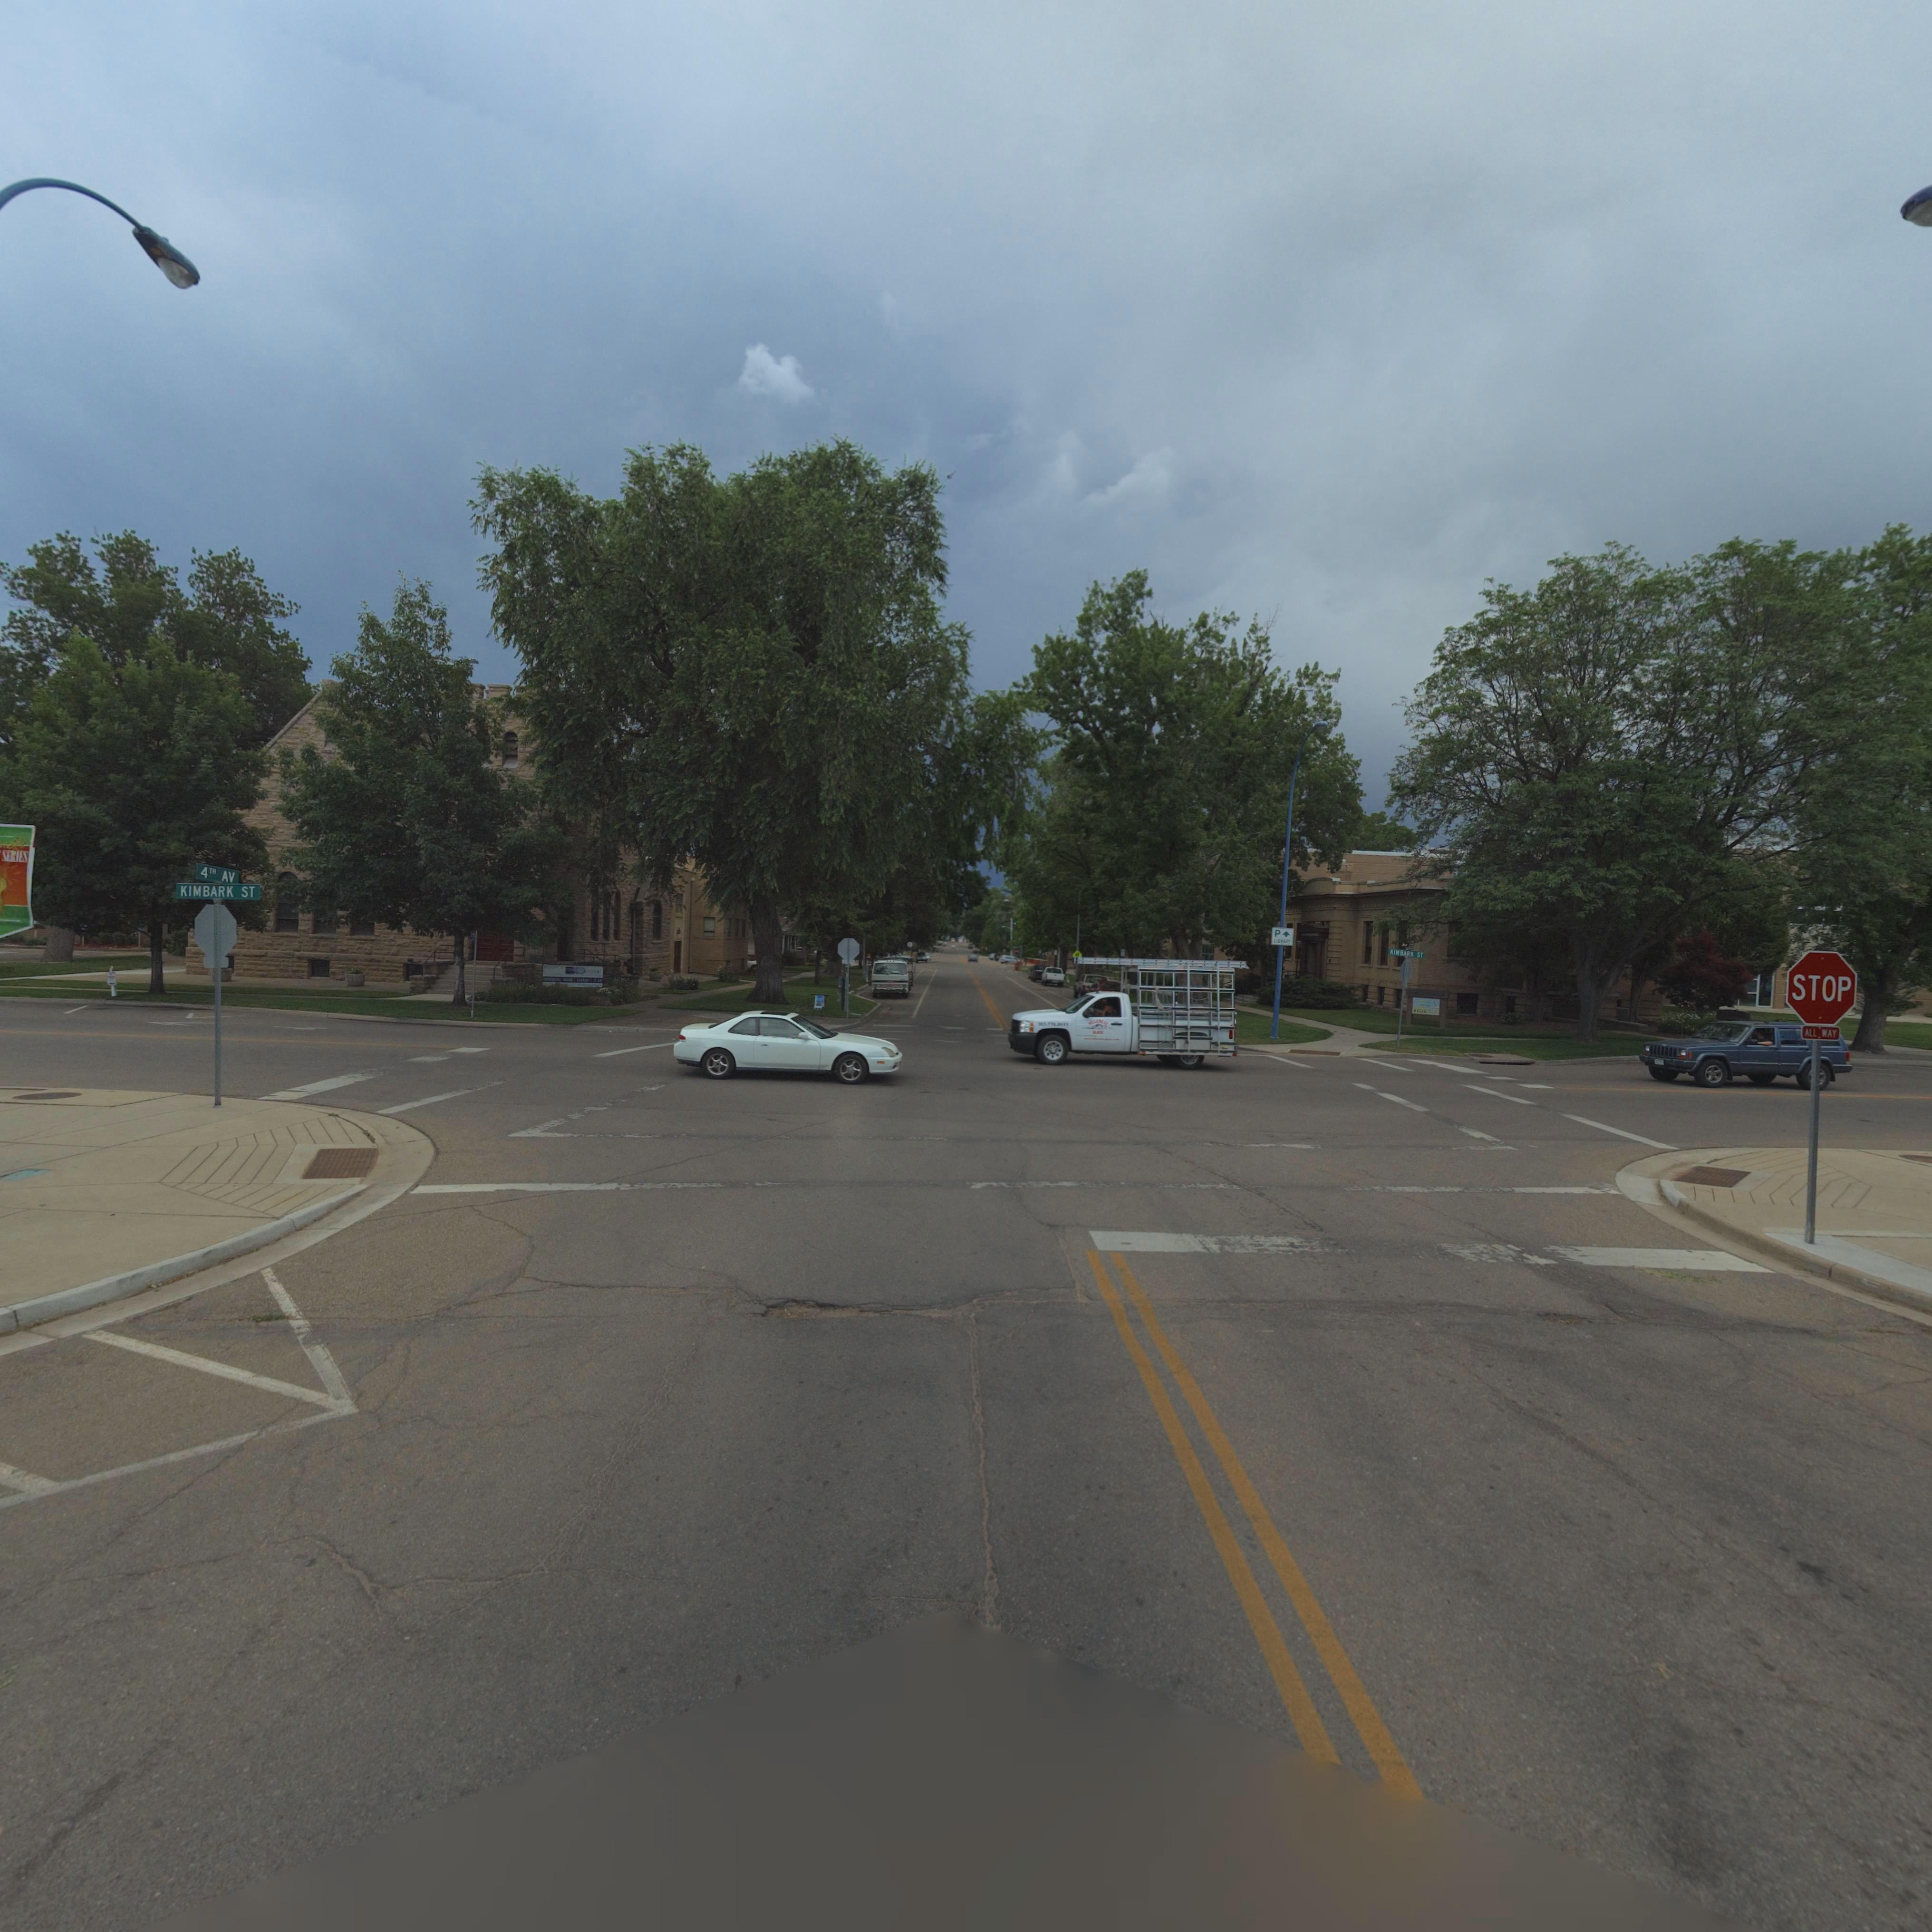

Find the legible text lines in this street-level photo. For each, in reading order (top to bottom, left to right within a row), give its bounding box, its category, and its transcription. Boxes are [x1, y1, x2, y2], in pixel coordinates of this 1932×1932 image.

[200, 867, 235, 883] StreetName: 4TH AV
[181, 886, 254, 897] StreetName: KIMBARK ST
[1390, 949, 1423, 957] StreetName: KIMBARK ST